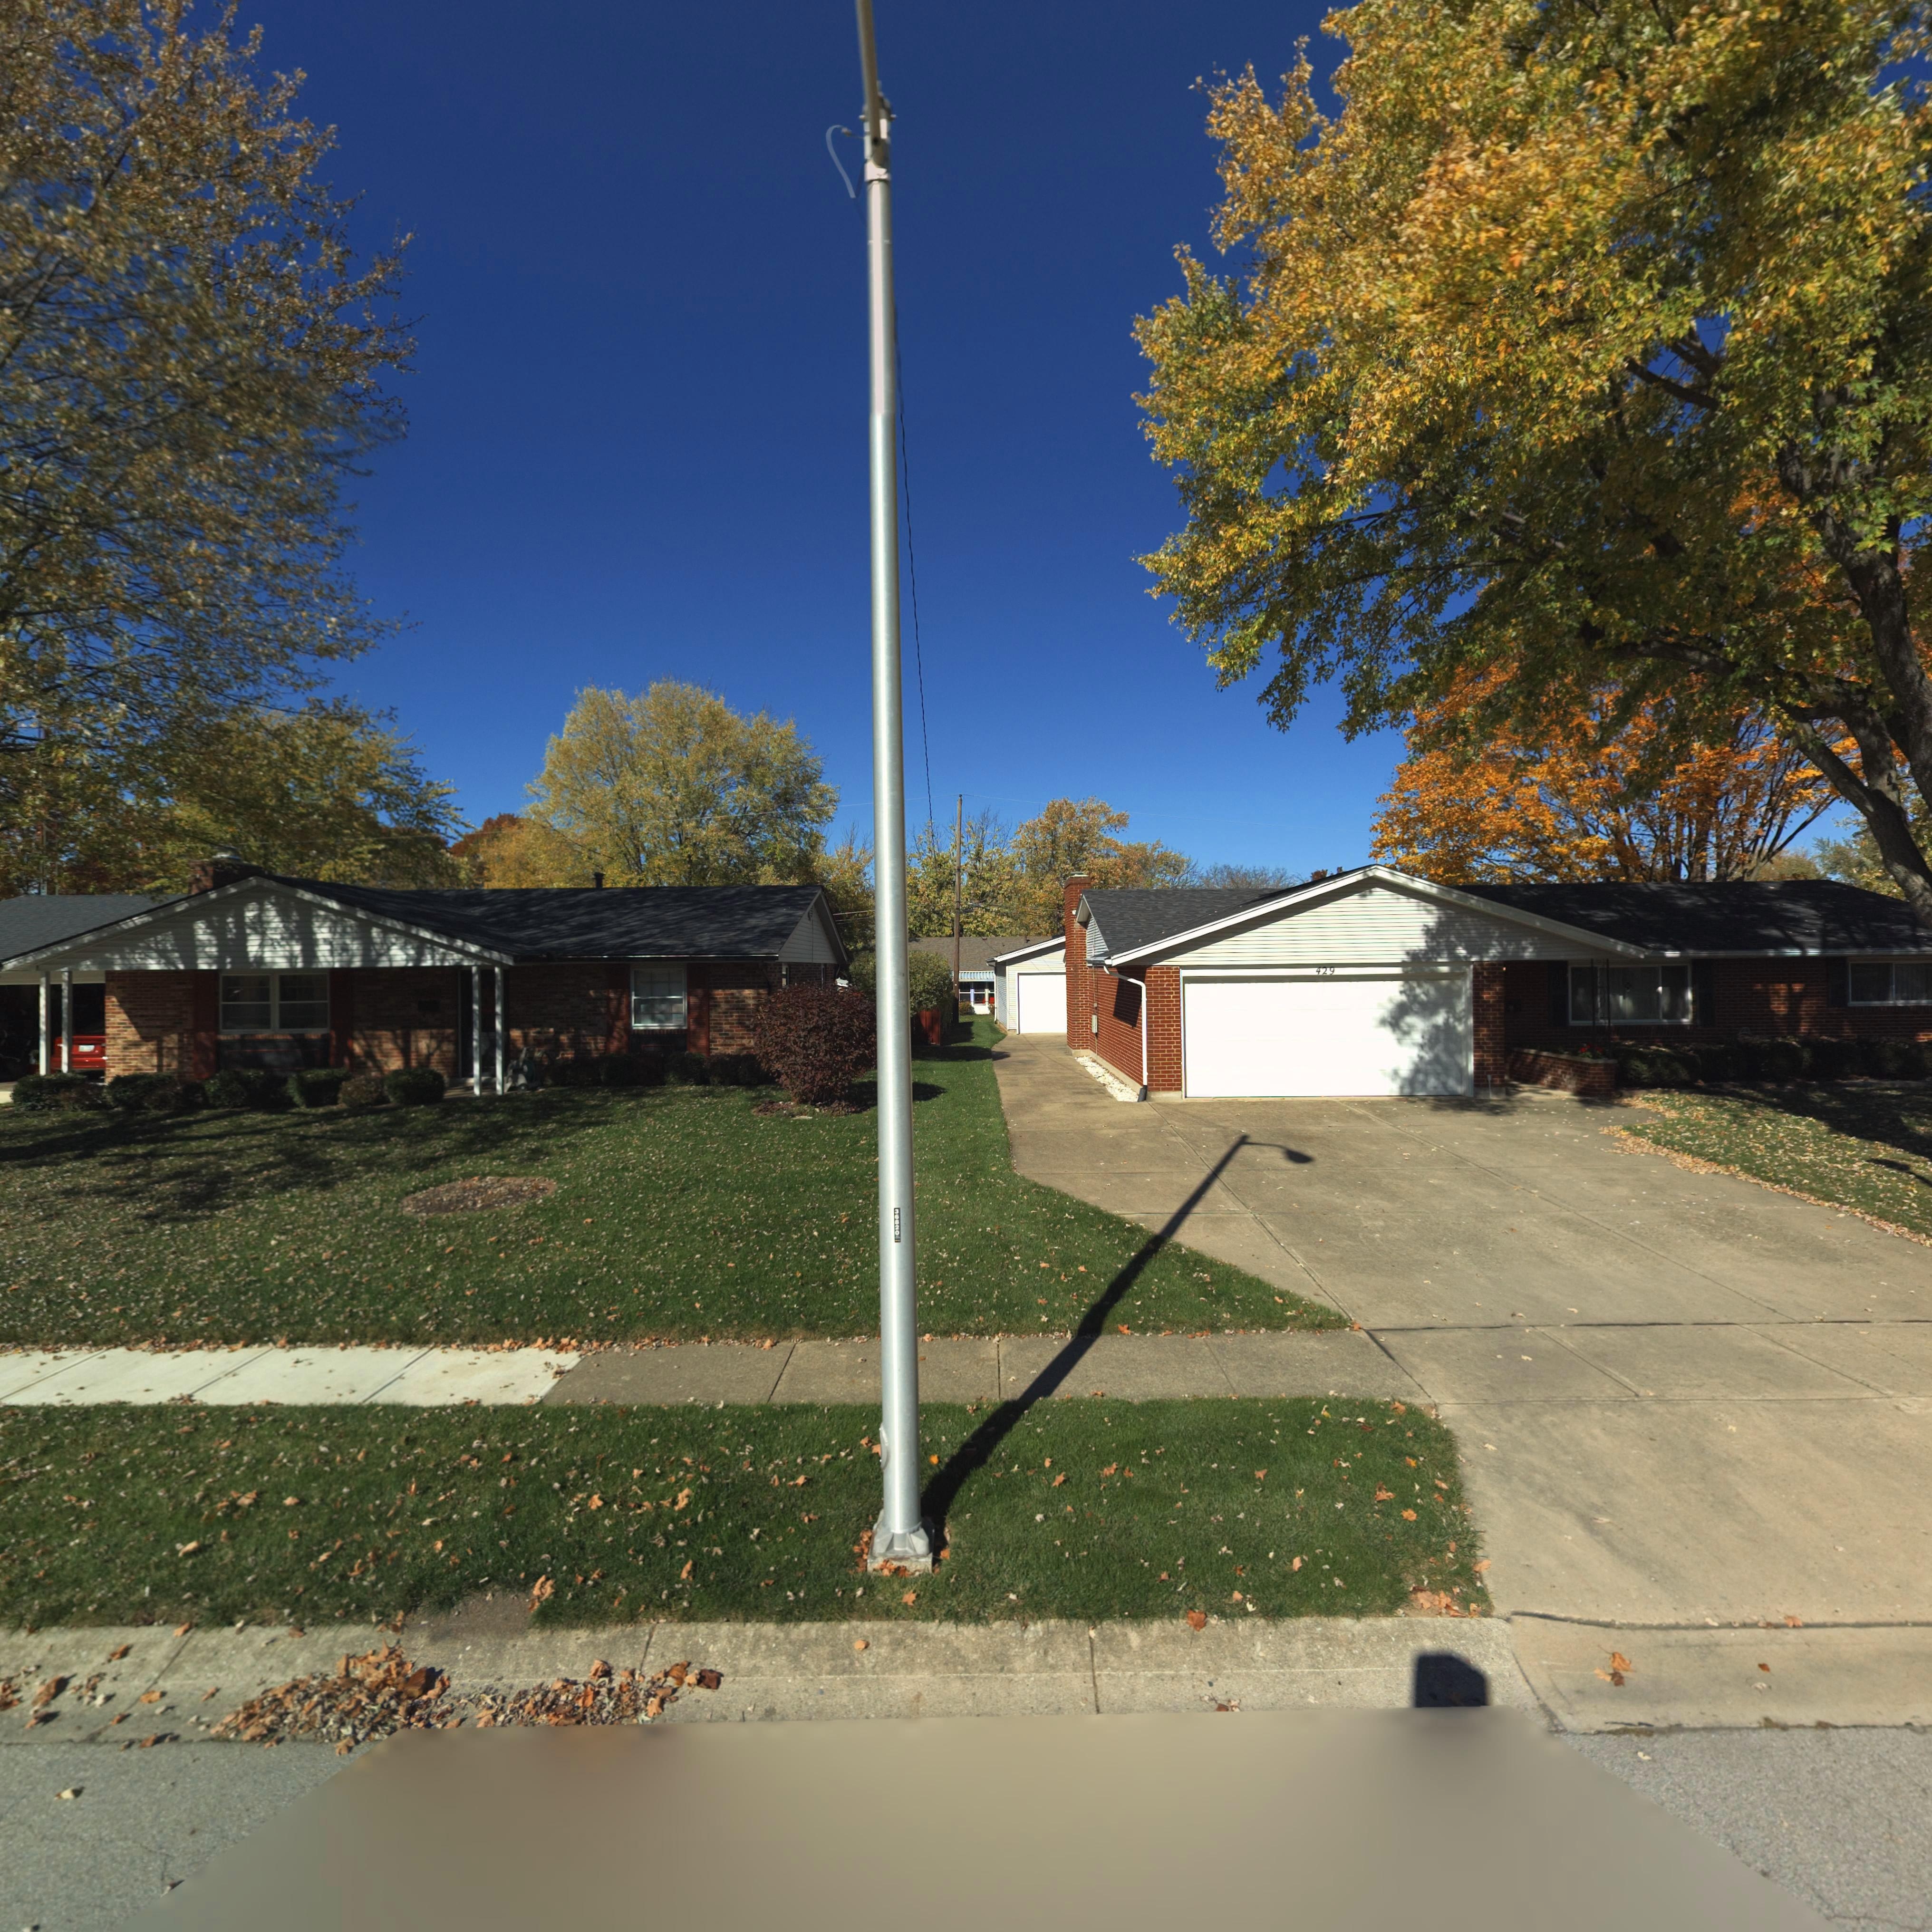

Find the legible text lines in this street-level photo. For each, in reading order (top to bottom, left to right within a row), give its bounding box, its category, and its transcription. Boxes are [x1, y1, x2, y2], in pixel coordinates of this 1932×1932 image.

[1314, 965, 1336, 976] StreetNumber: 429